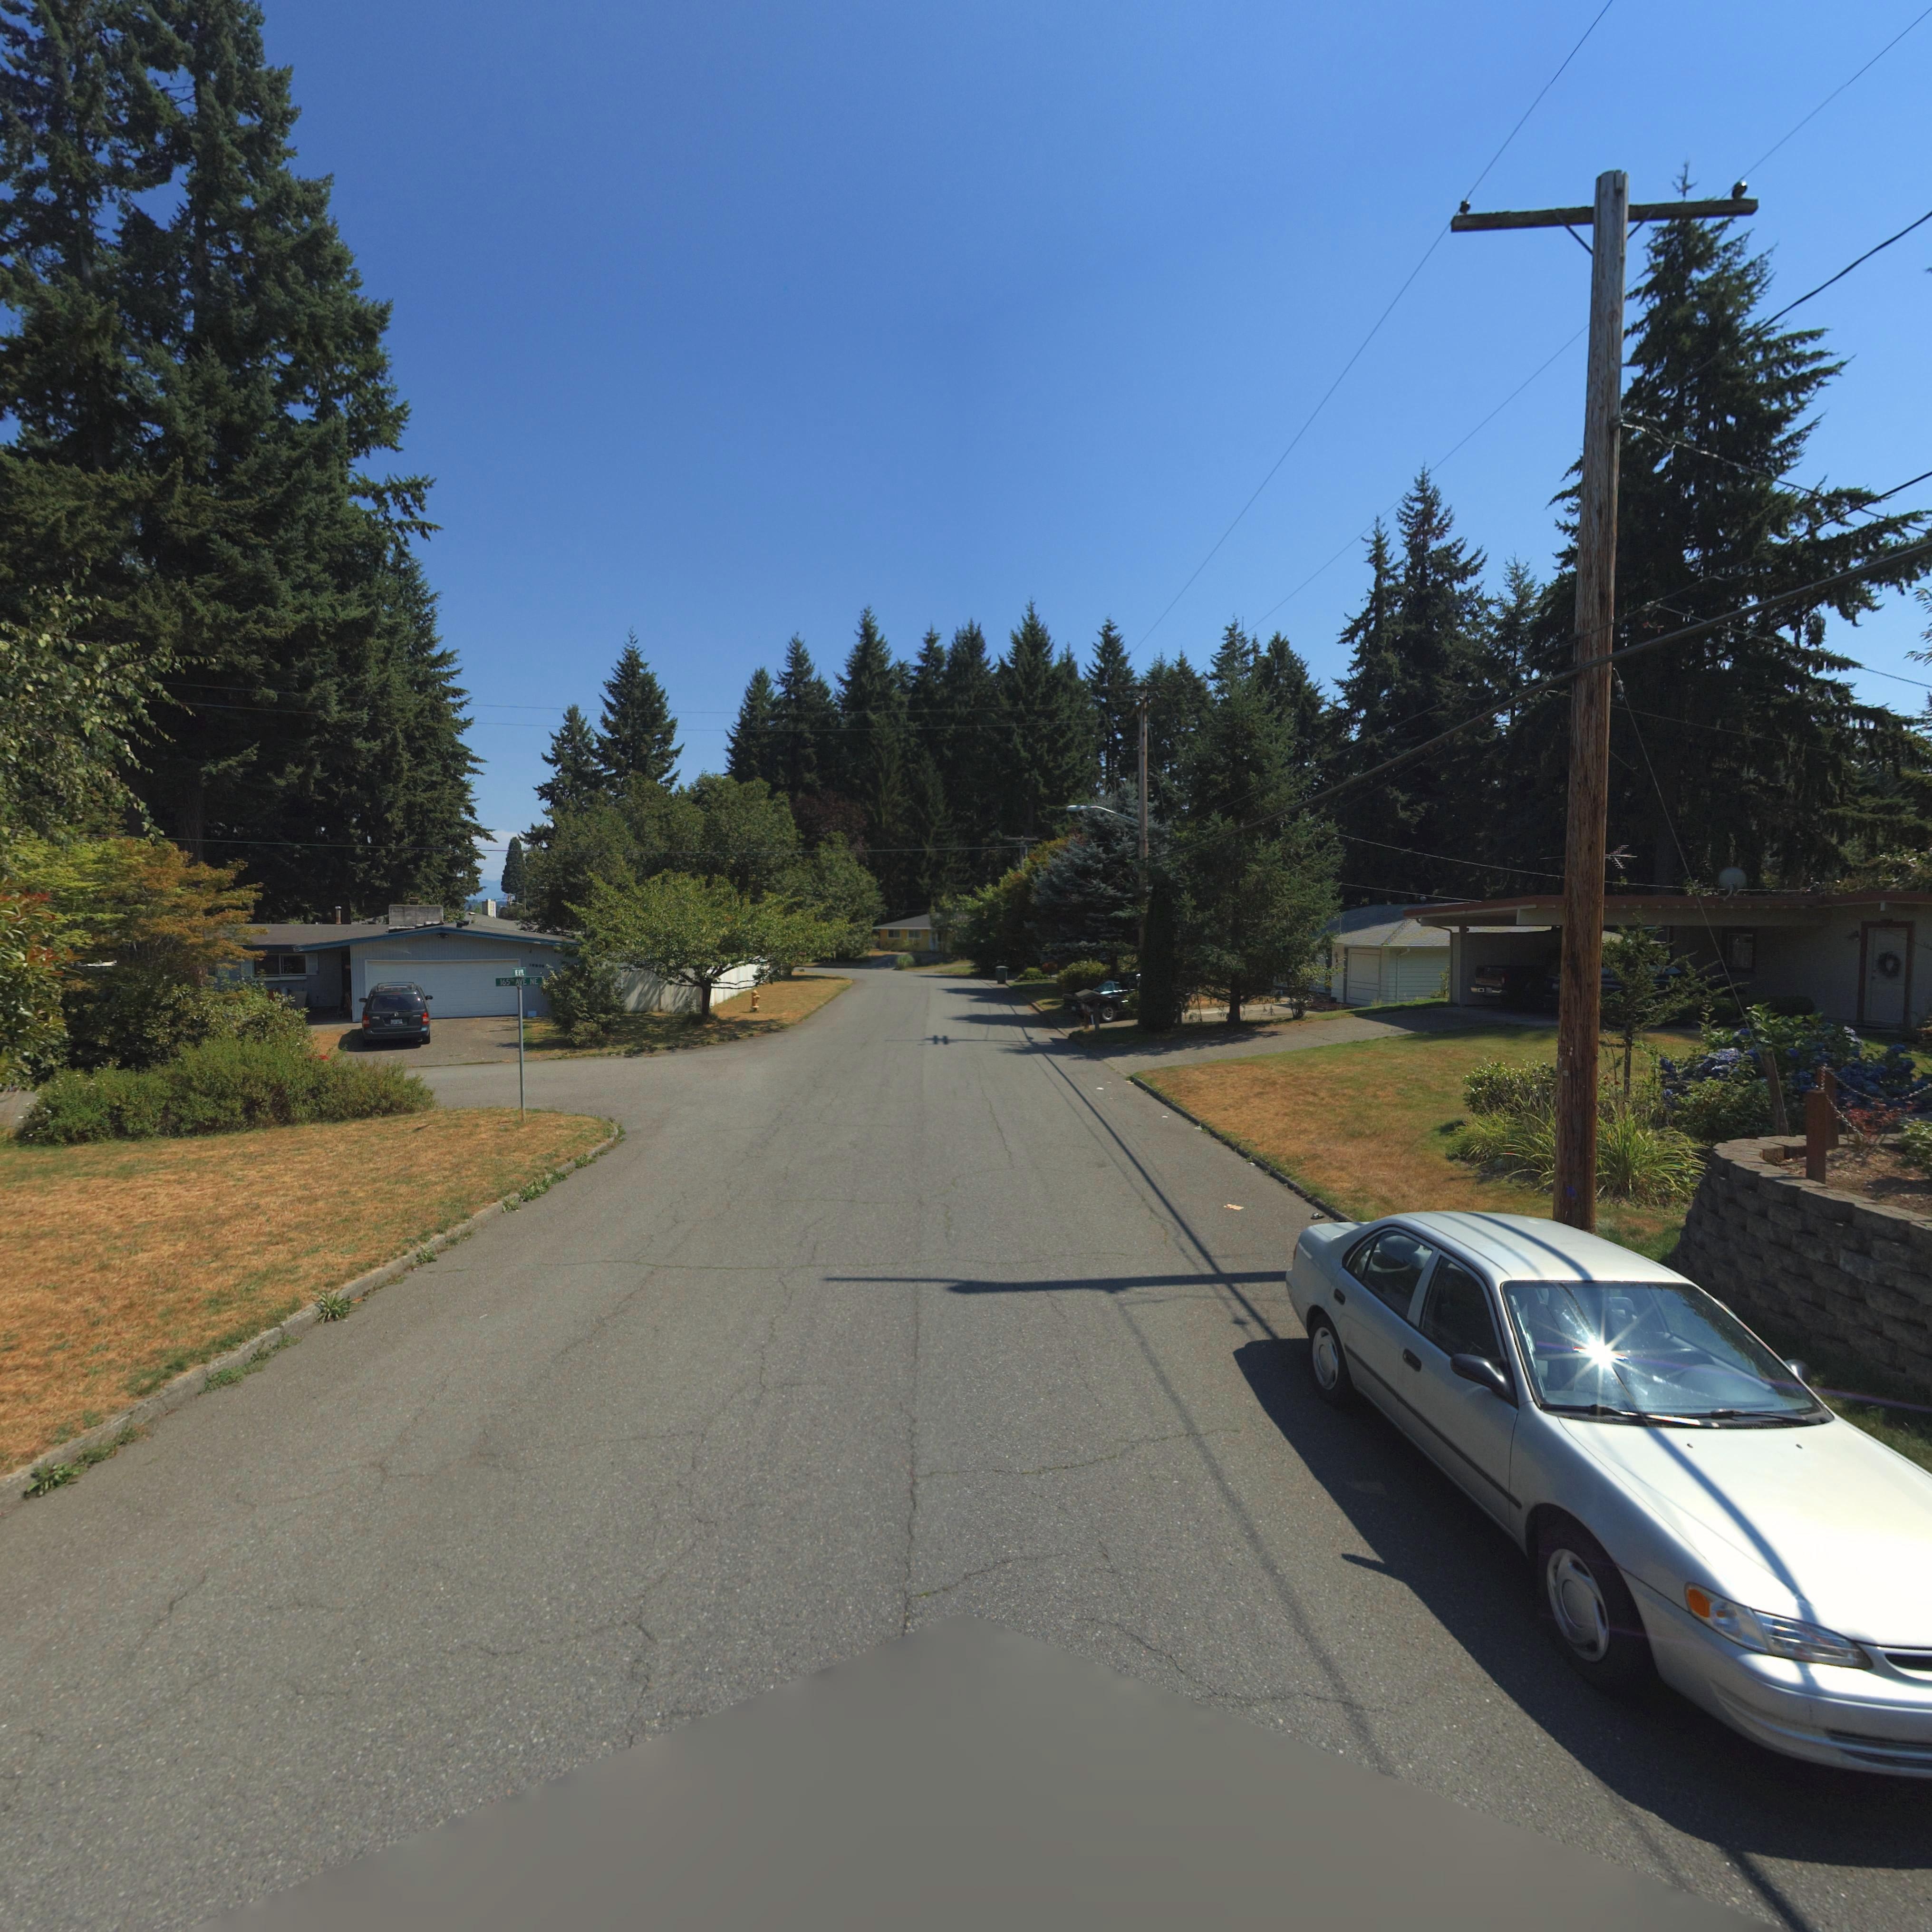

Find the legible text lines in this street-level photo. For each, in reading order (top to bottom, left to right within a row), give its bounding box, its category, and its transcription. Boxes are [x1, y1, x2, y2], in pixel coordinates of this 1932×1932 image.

[499, 976, 539, 985] StreetName: 165th Ave NE